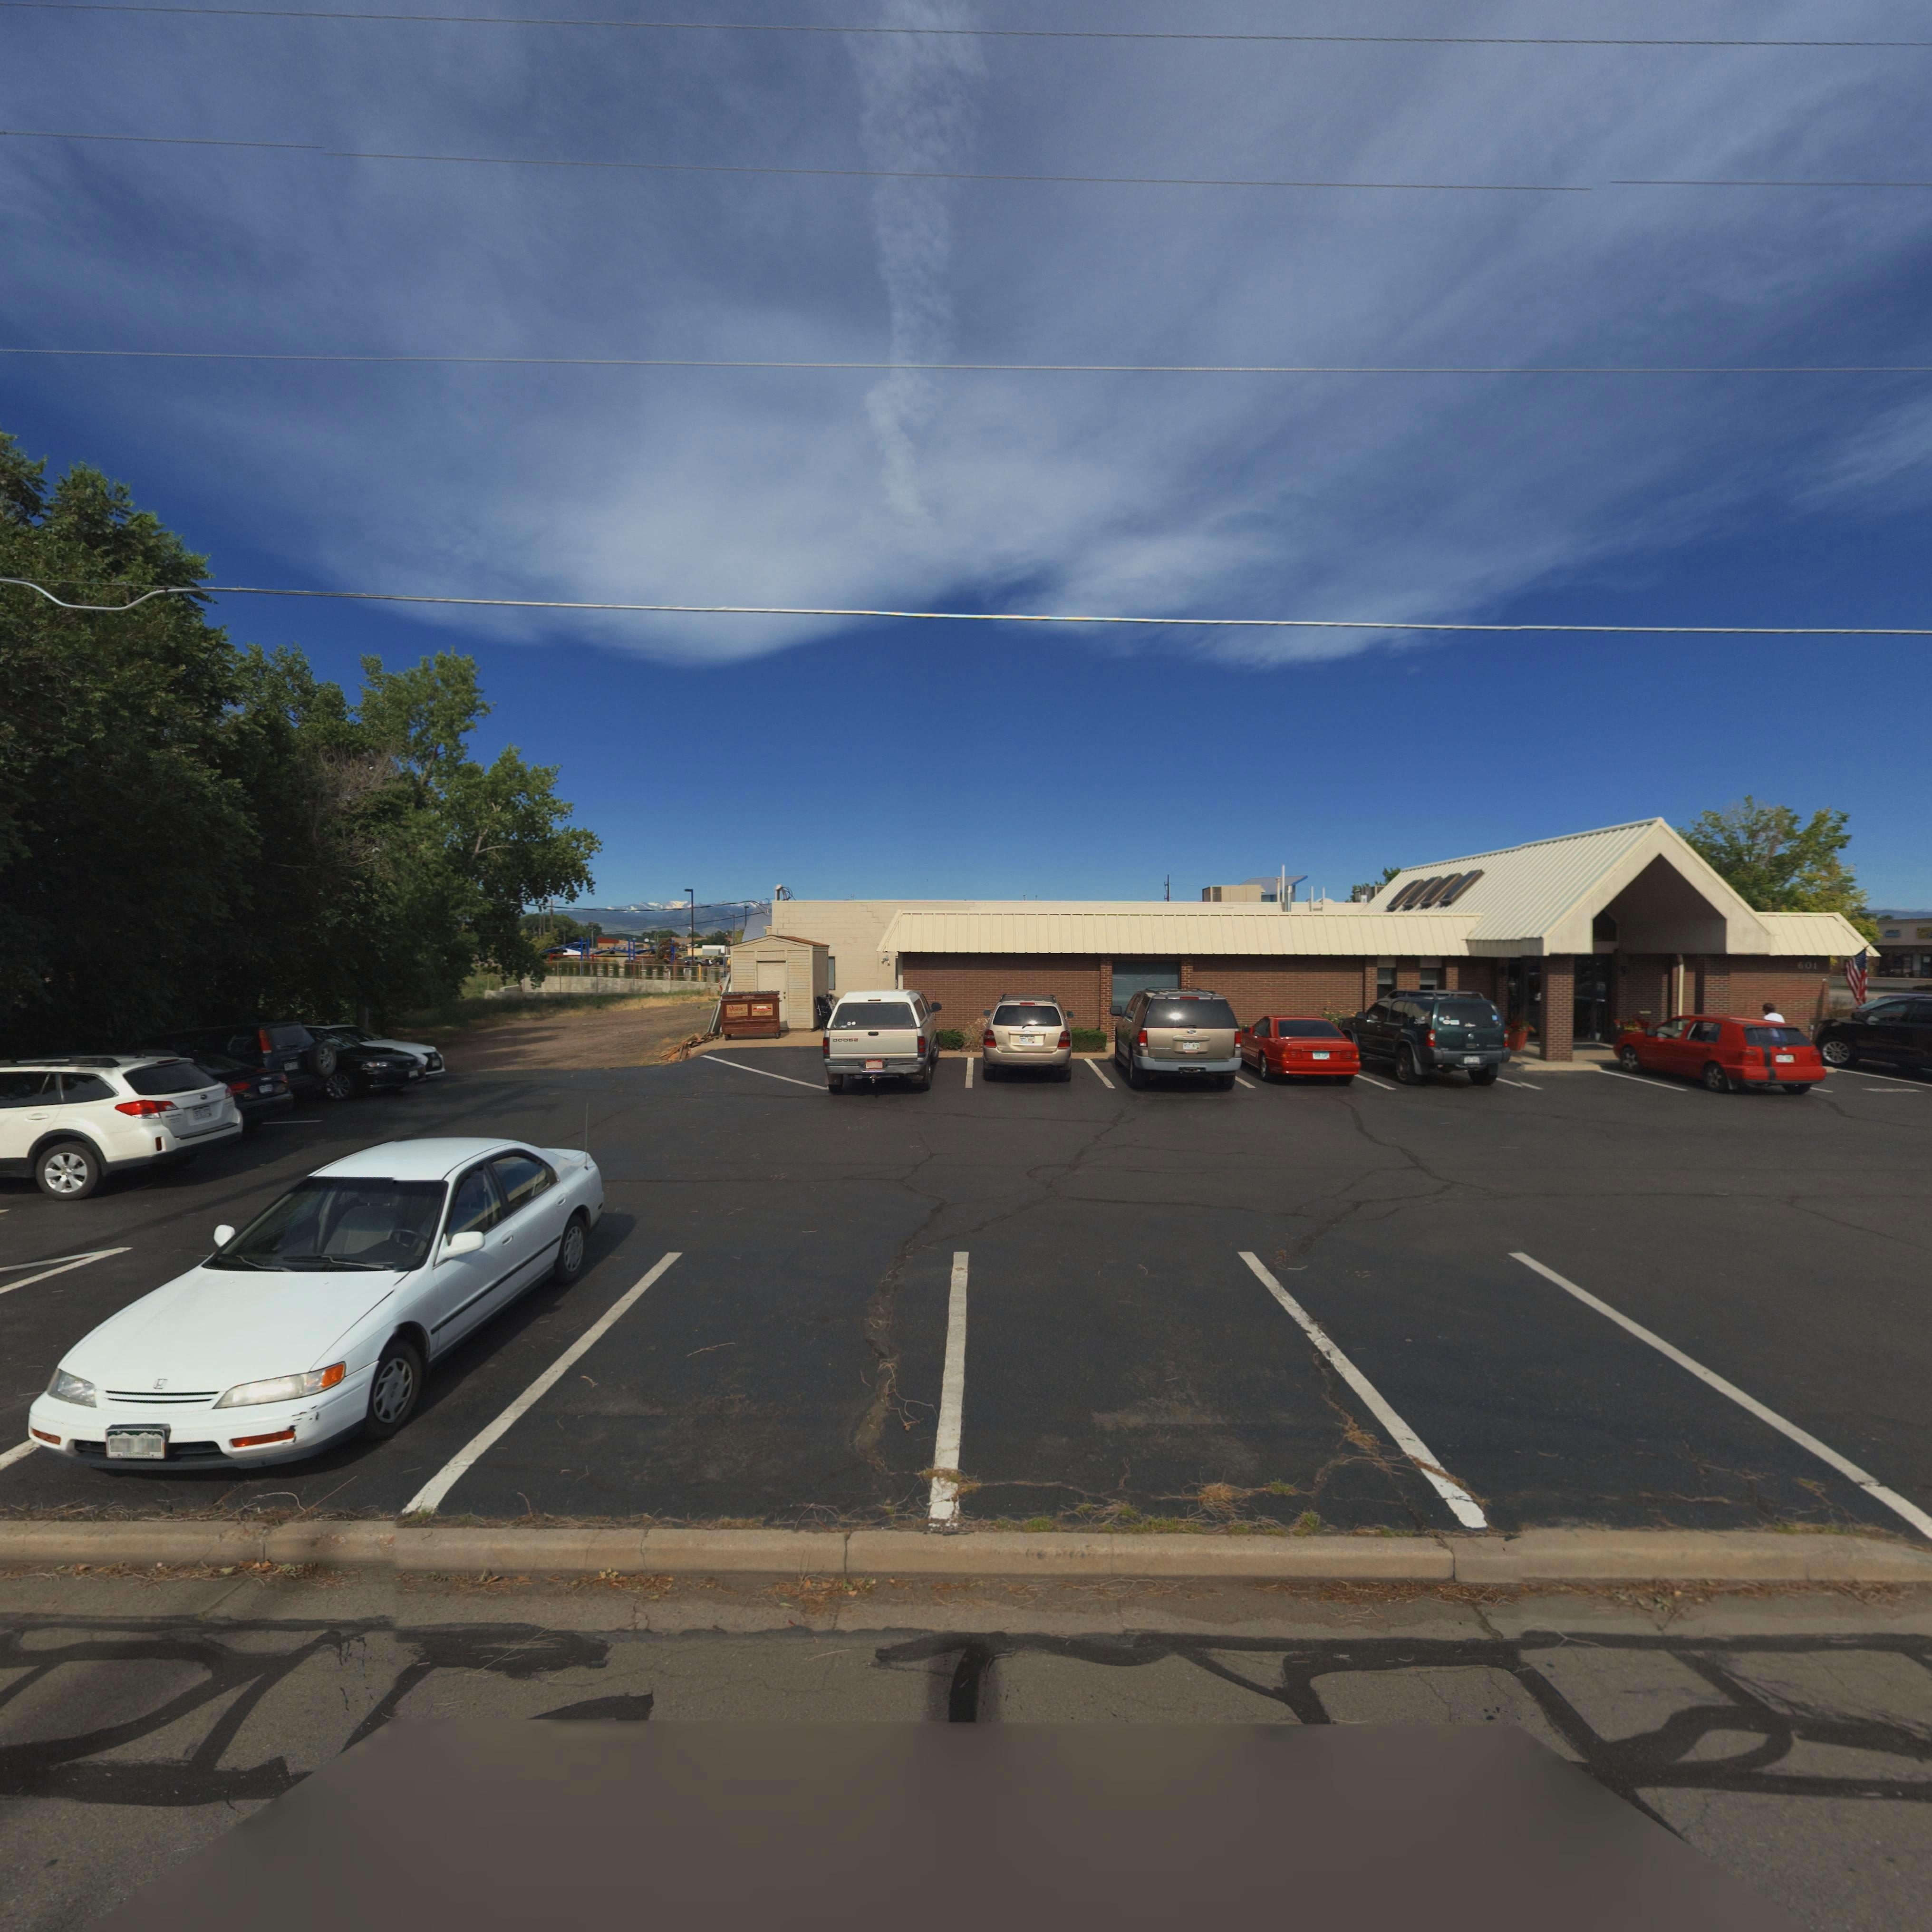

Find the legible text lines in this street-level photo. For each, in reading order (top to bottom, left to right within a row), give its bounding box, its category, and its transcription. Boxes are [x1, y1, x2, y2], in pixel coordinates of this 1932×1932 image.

[1797, 961, 1817, 970] StreetNumber: 601